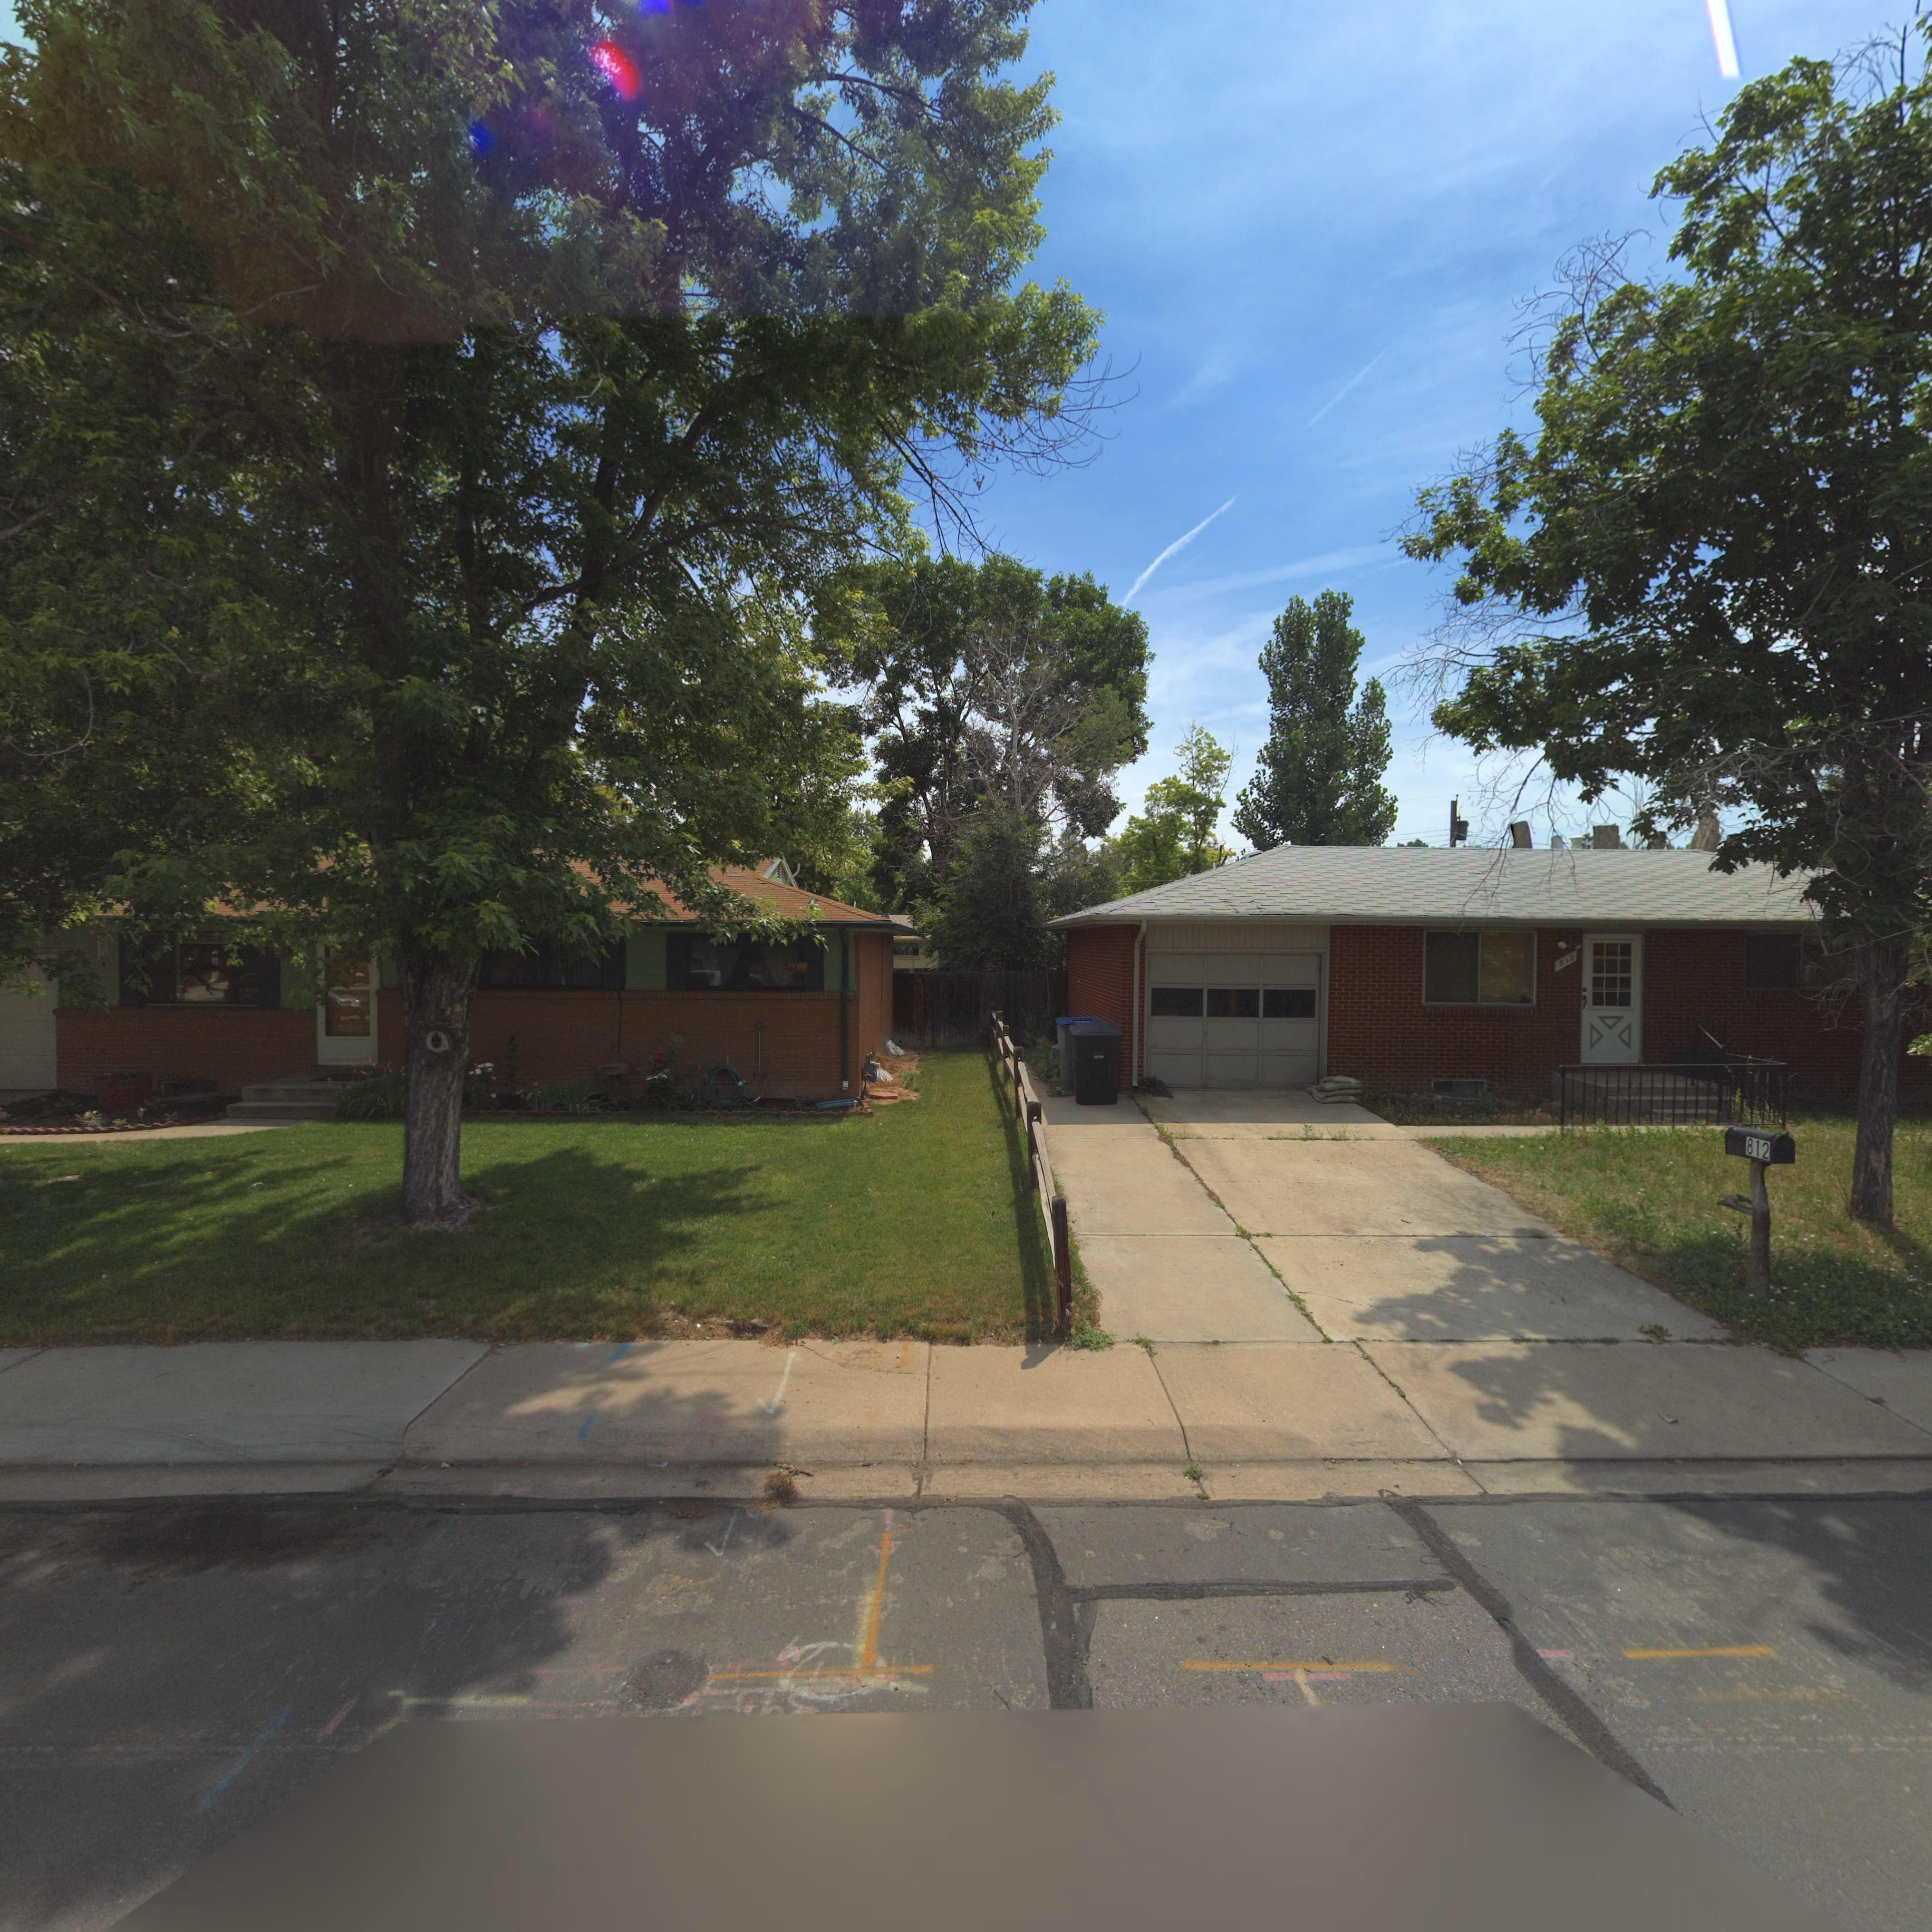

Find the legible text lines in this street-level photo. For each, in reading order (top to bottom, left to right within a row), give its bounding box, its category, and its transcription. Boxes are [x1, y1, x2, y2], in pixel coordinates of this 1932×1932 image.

[1559, 954, 1574, 966] StreetNumber: 812
[1747, 1137, 1769, 1159] StreetNumber: 812